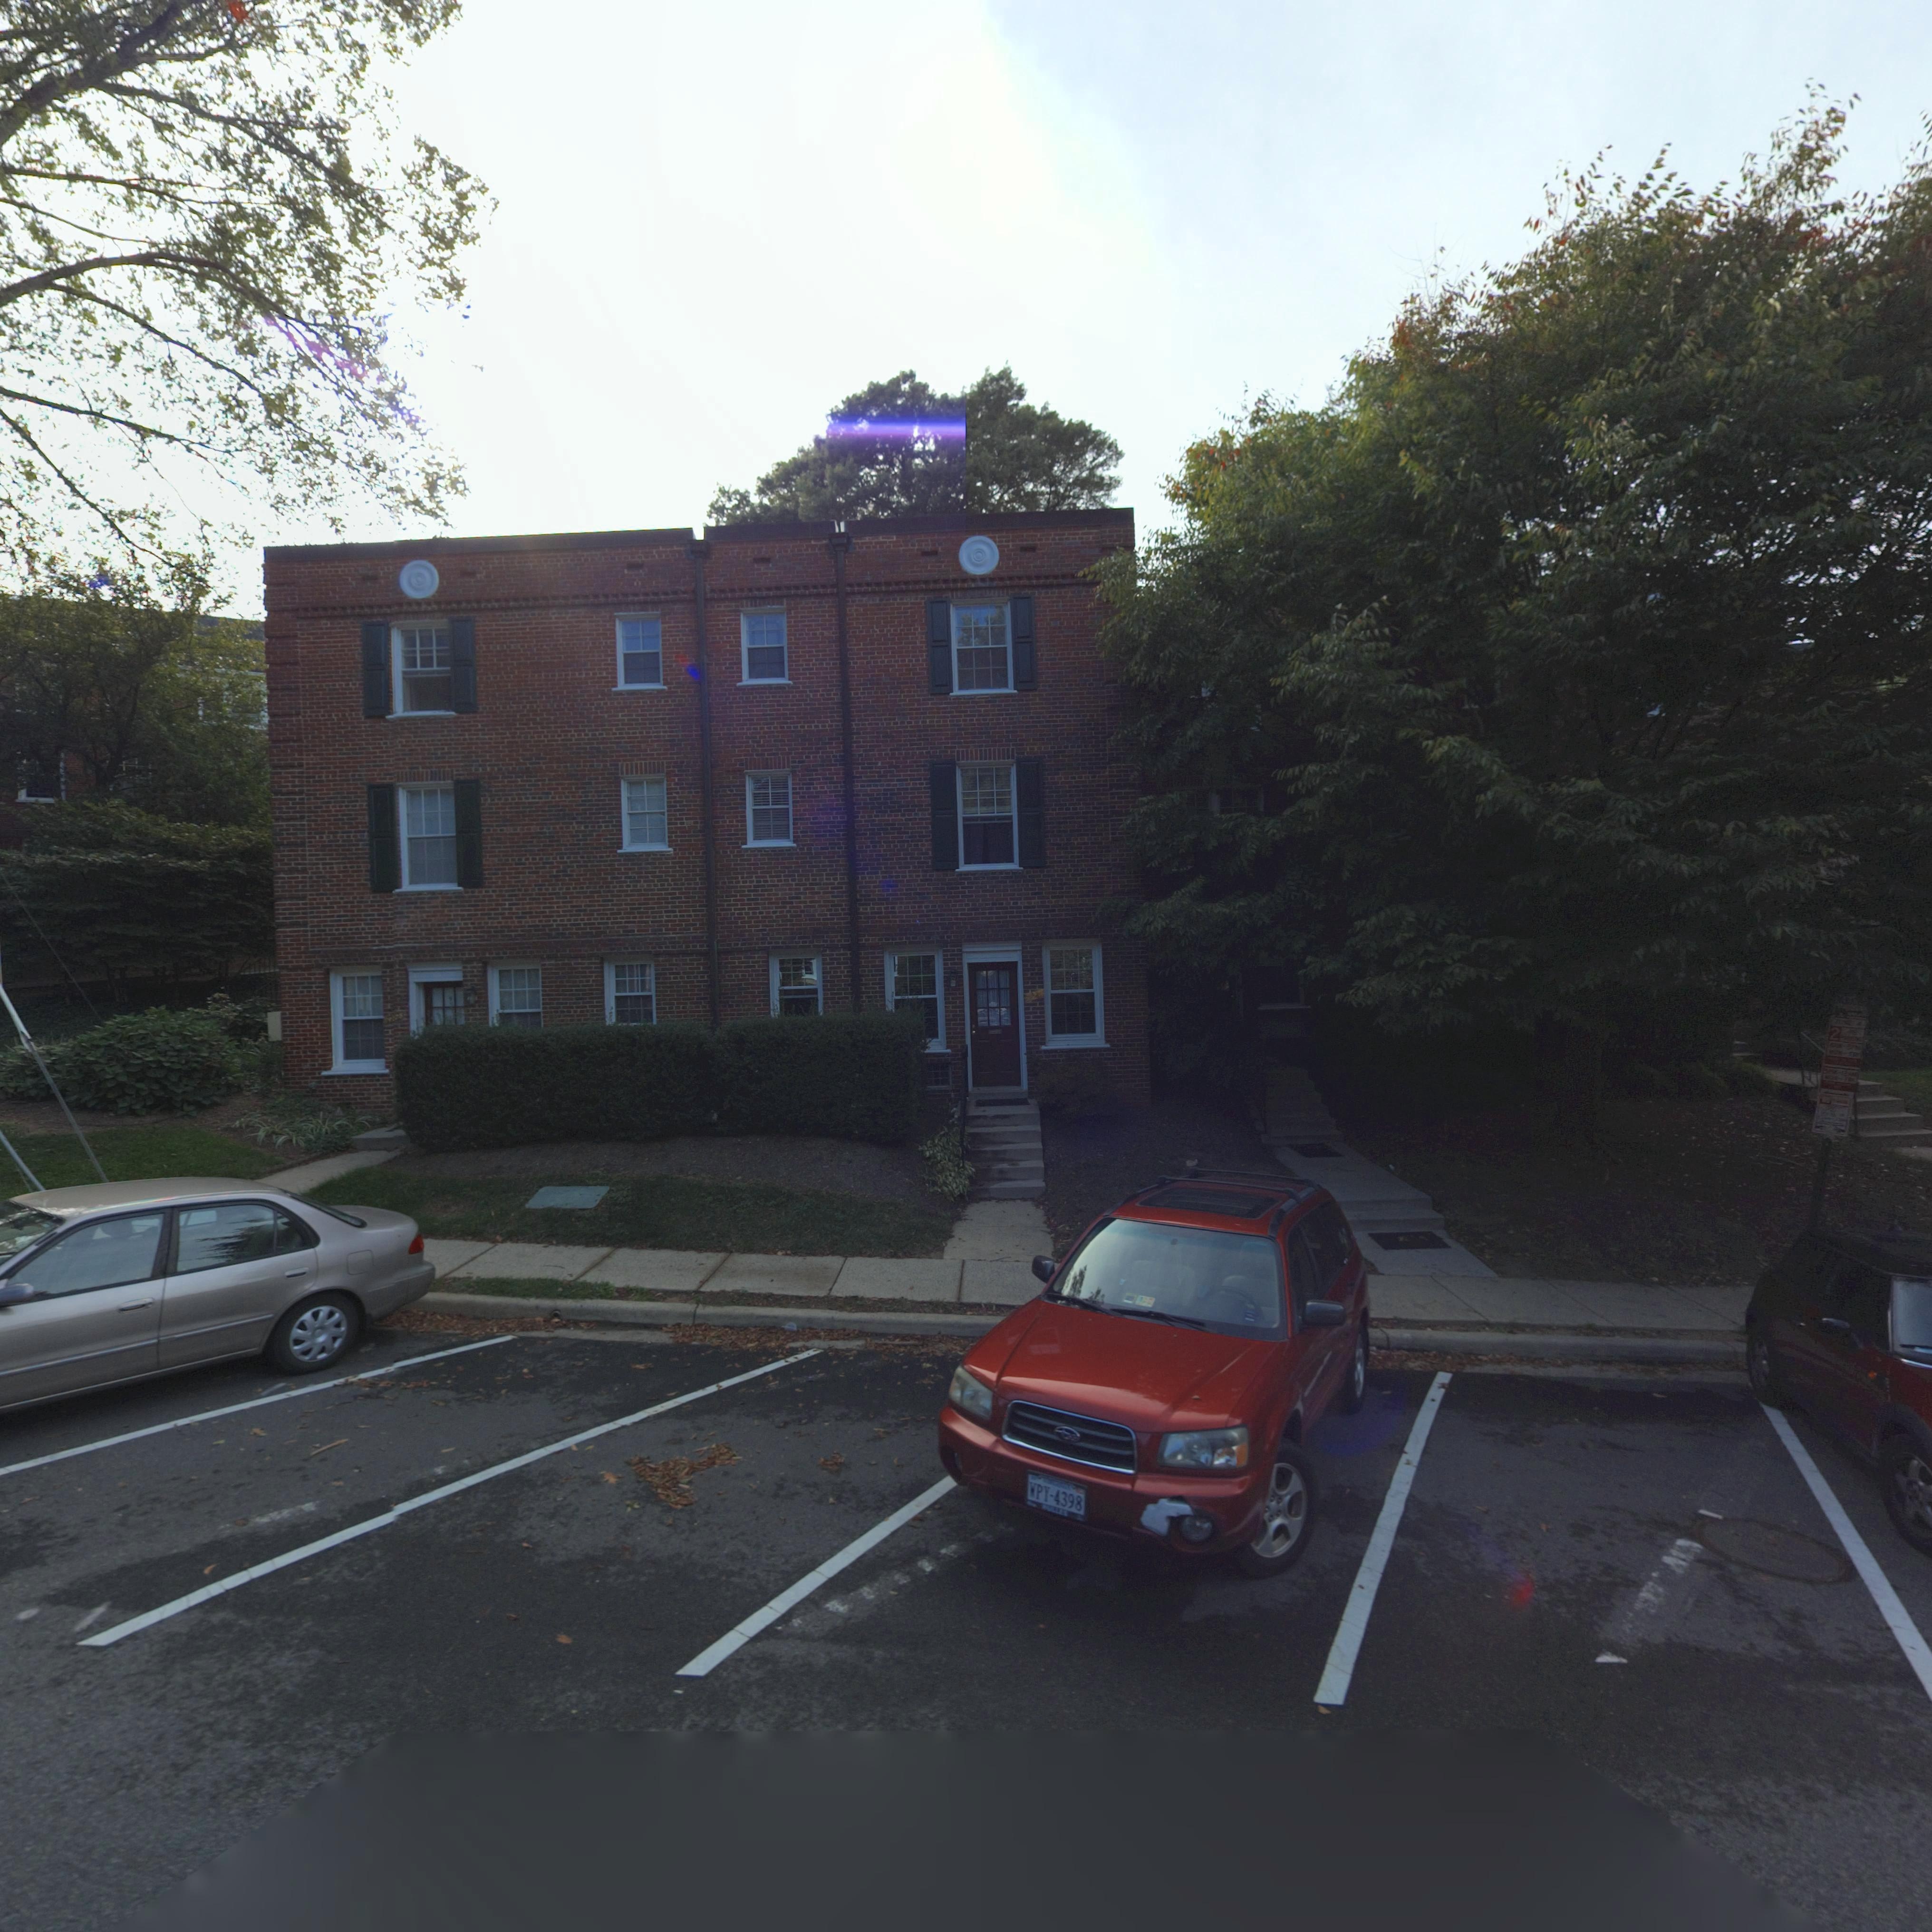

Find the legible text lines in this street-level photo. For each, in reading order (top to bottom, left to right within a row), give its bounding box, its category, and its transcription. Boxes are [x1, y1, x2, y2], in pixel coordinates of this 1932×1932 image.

[1827, 1025, 1842, 1042] None: 2
[1028, 1478, 1084, 1514] None: WPY-4398